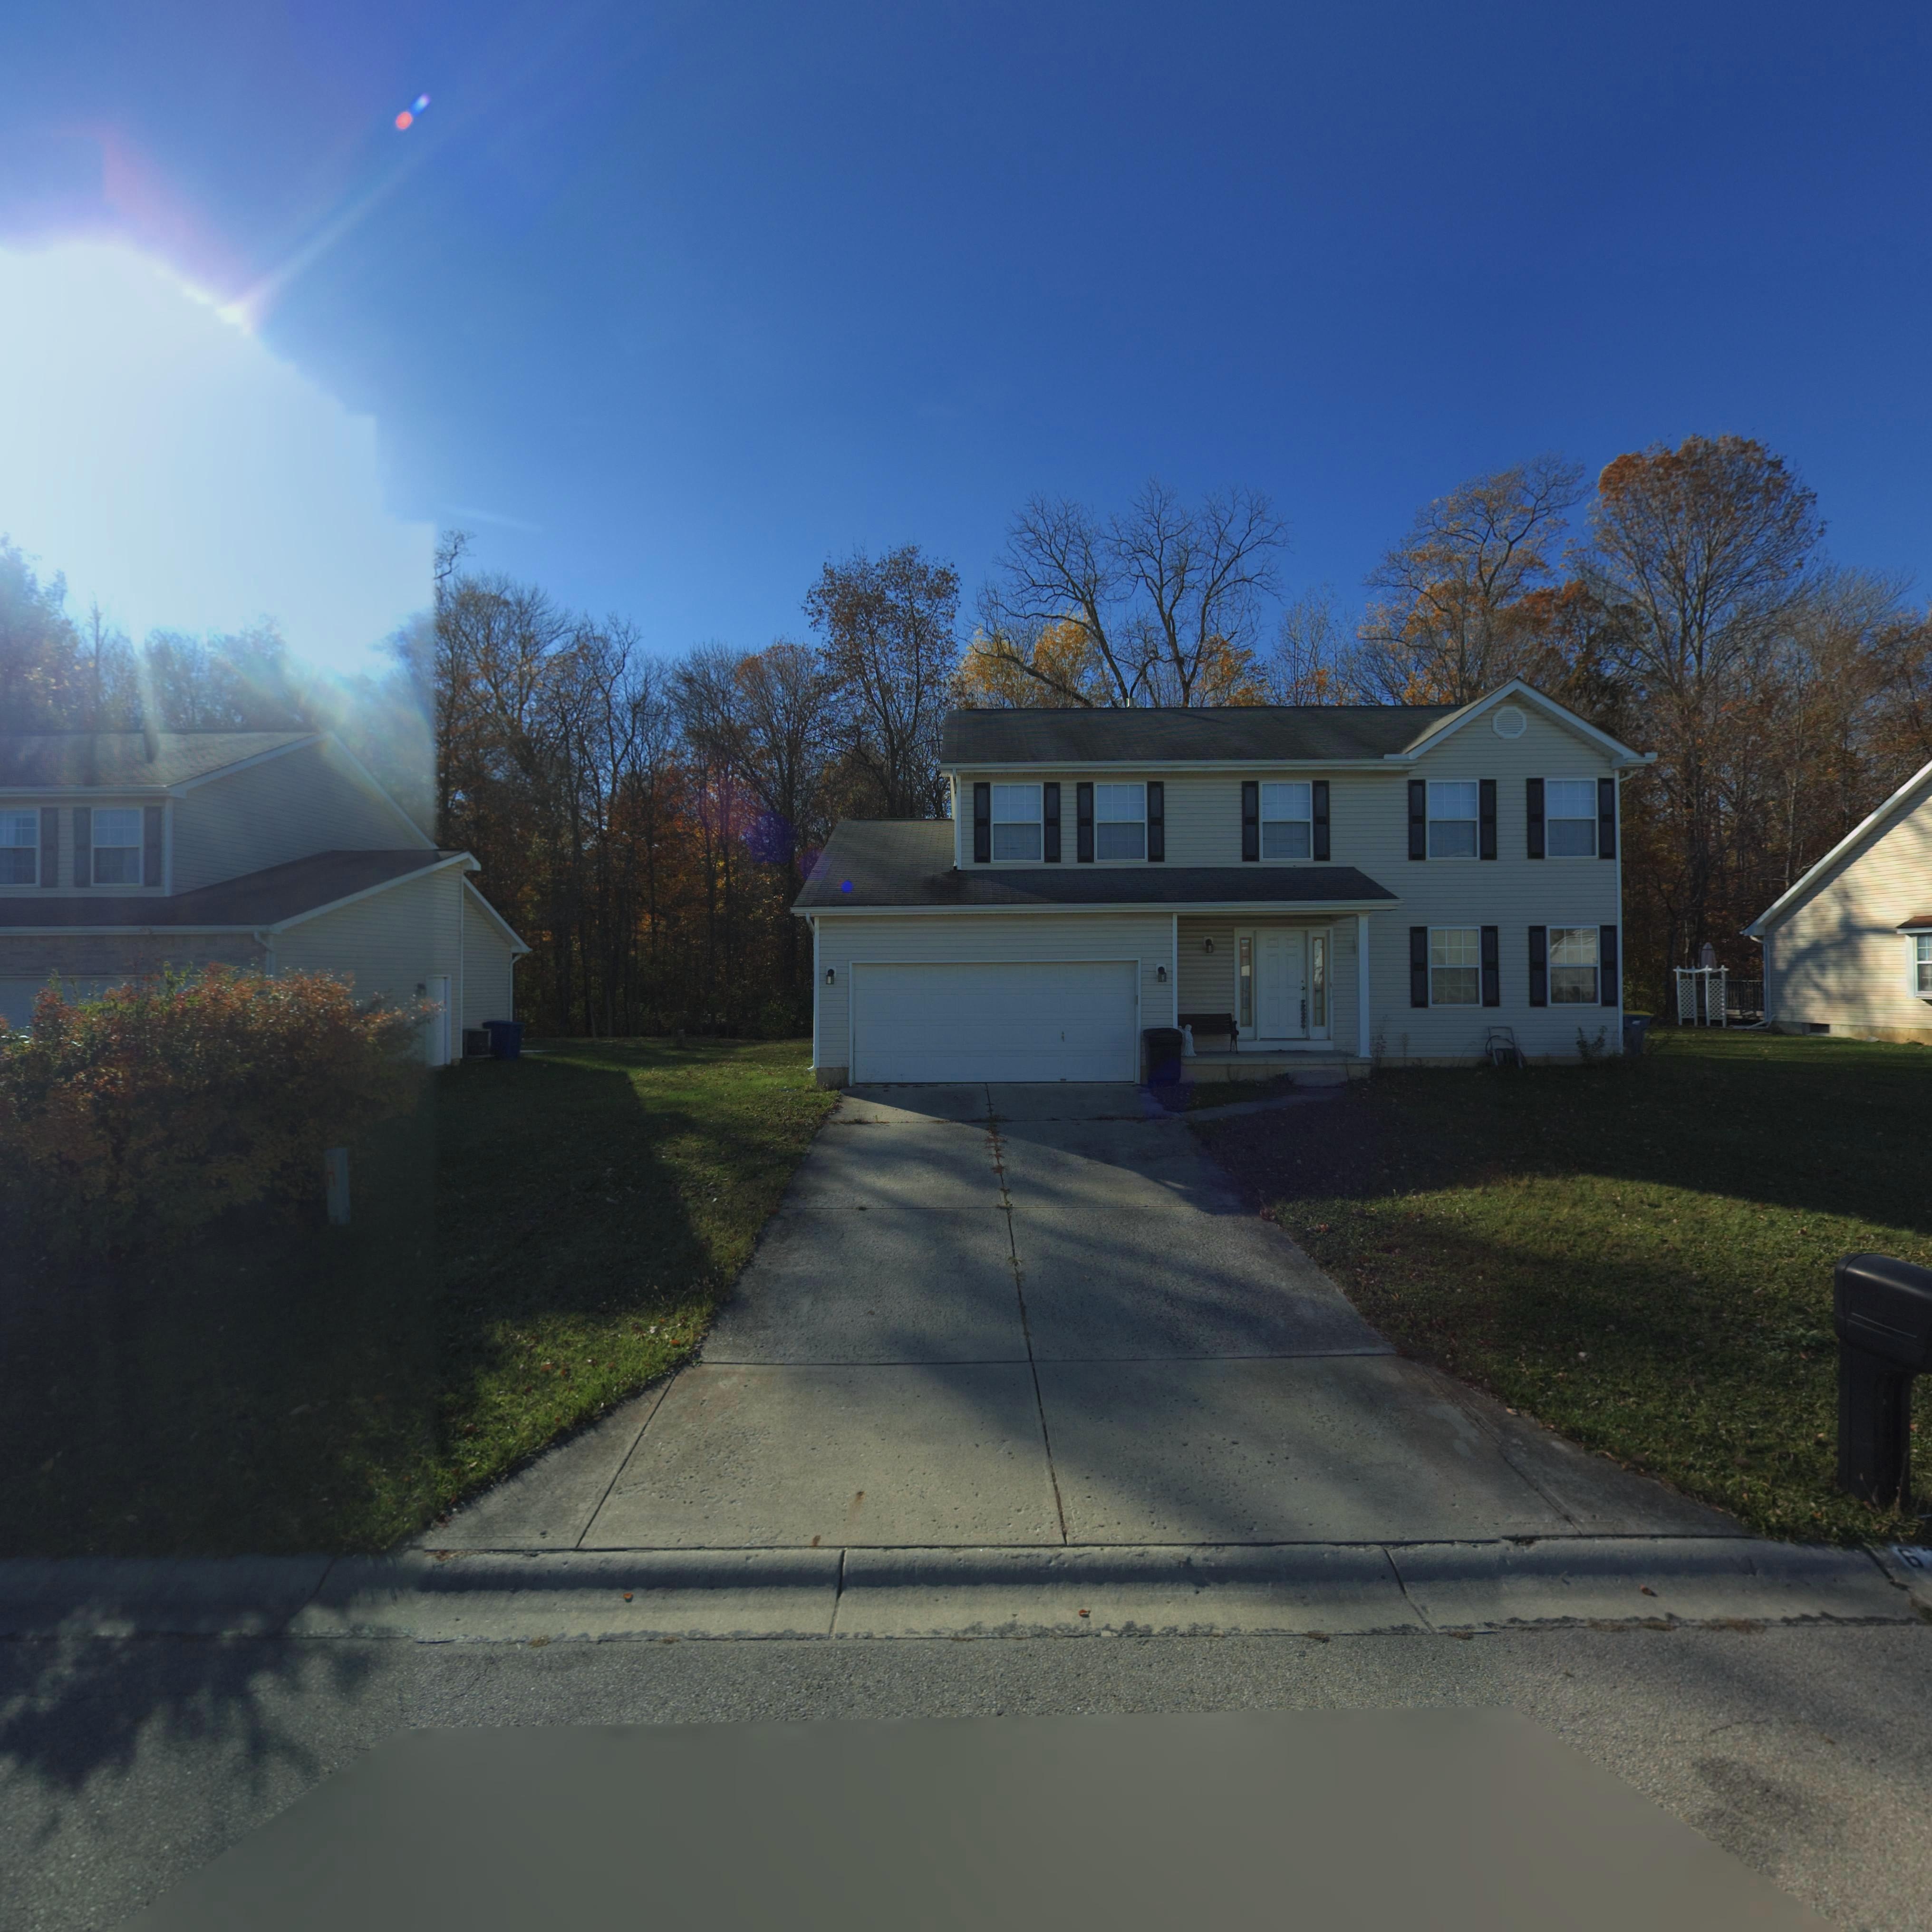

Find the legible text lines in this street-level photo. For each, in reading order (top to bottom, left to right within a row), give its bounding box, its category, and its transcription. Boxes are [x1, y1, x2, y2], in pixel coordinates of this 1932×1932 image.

[1896, 1547, 1925, 1570] StreetNumber: 6